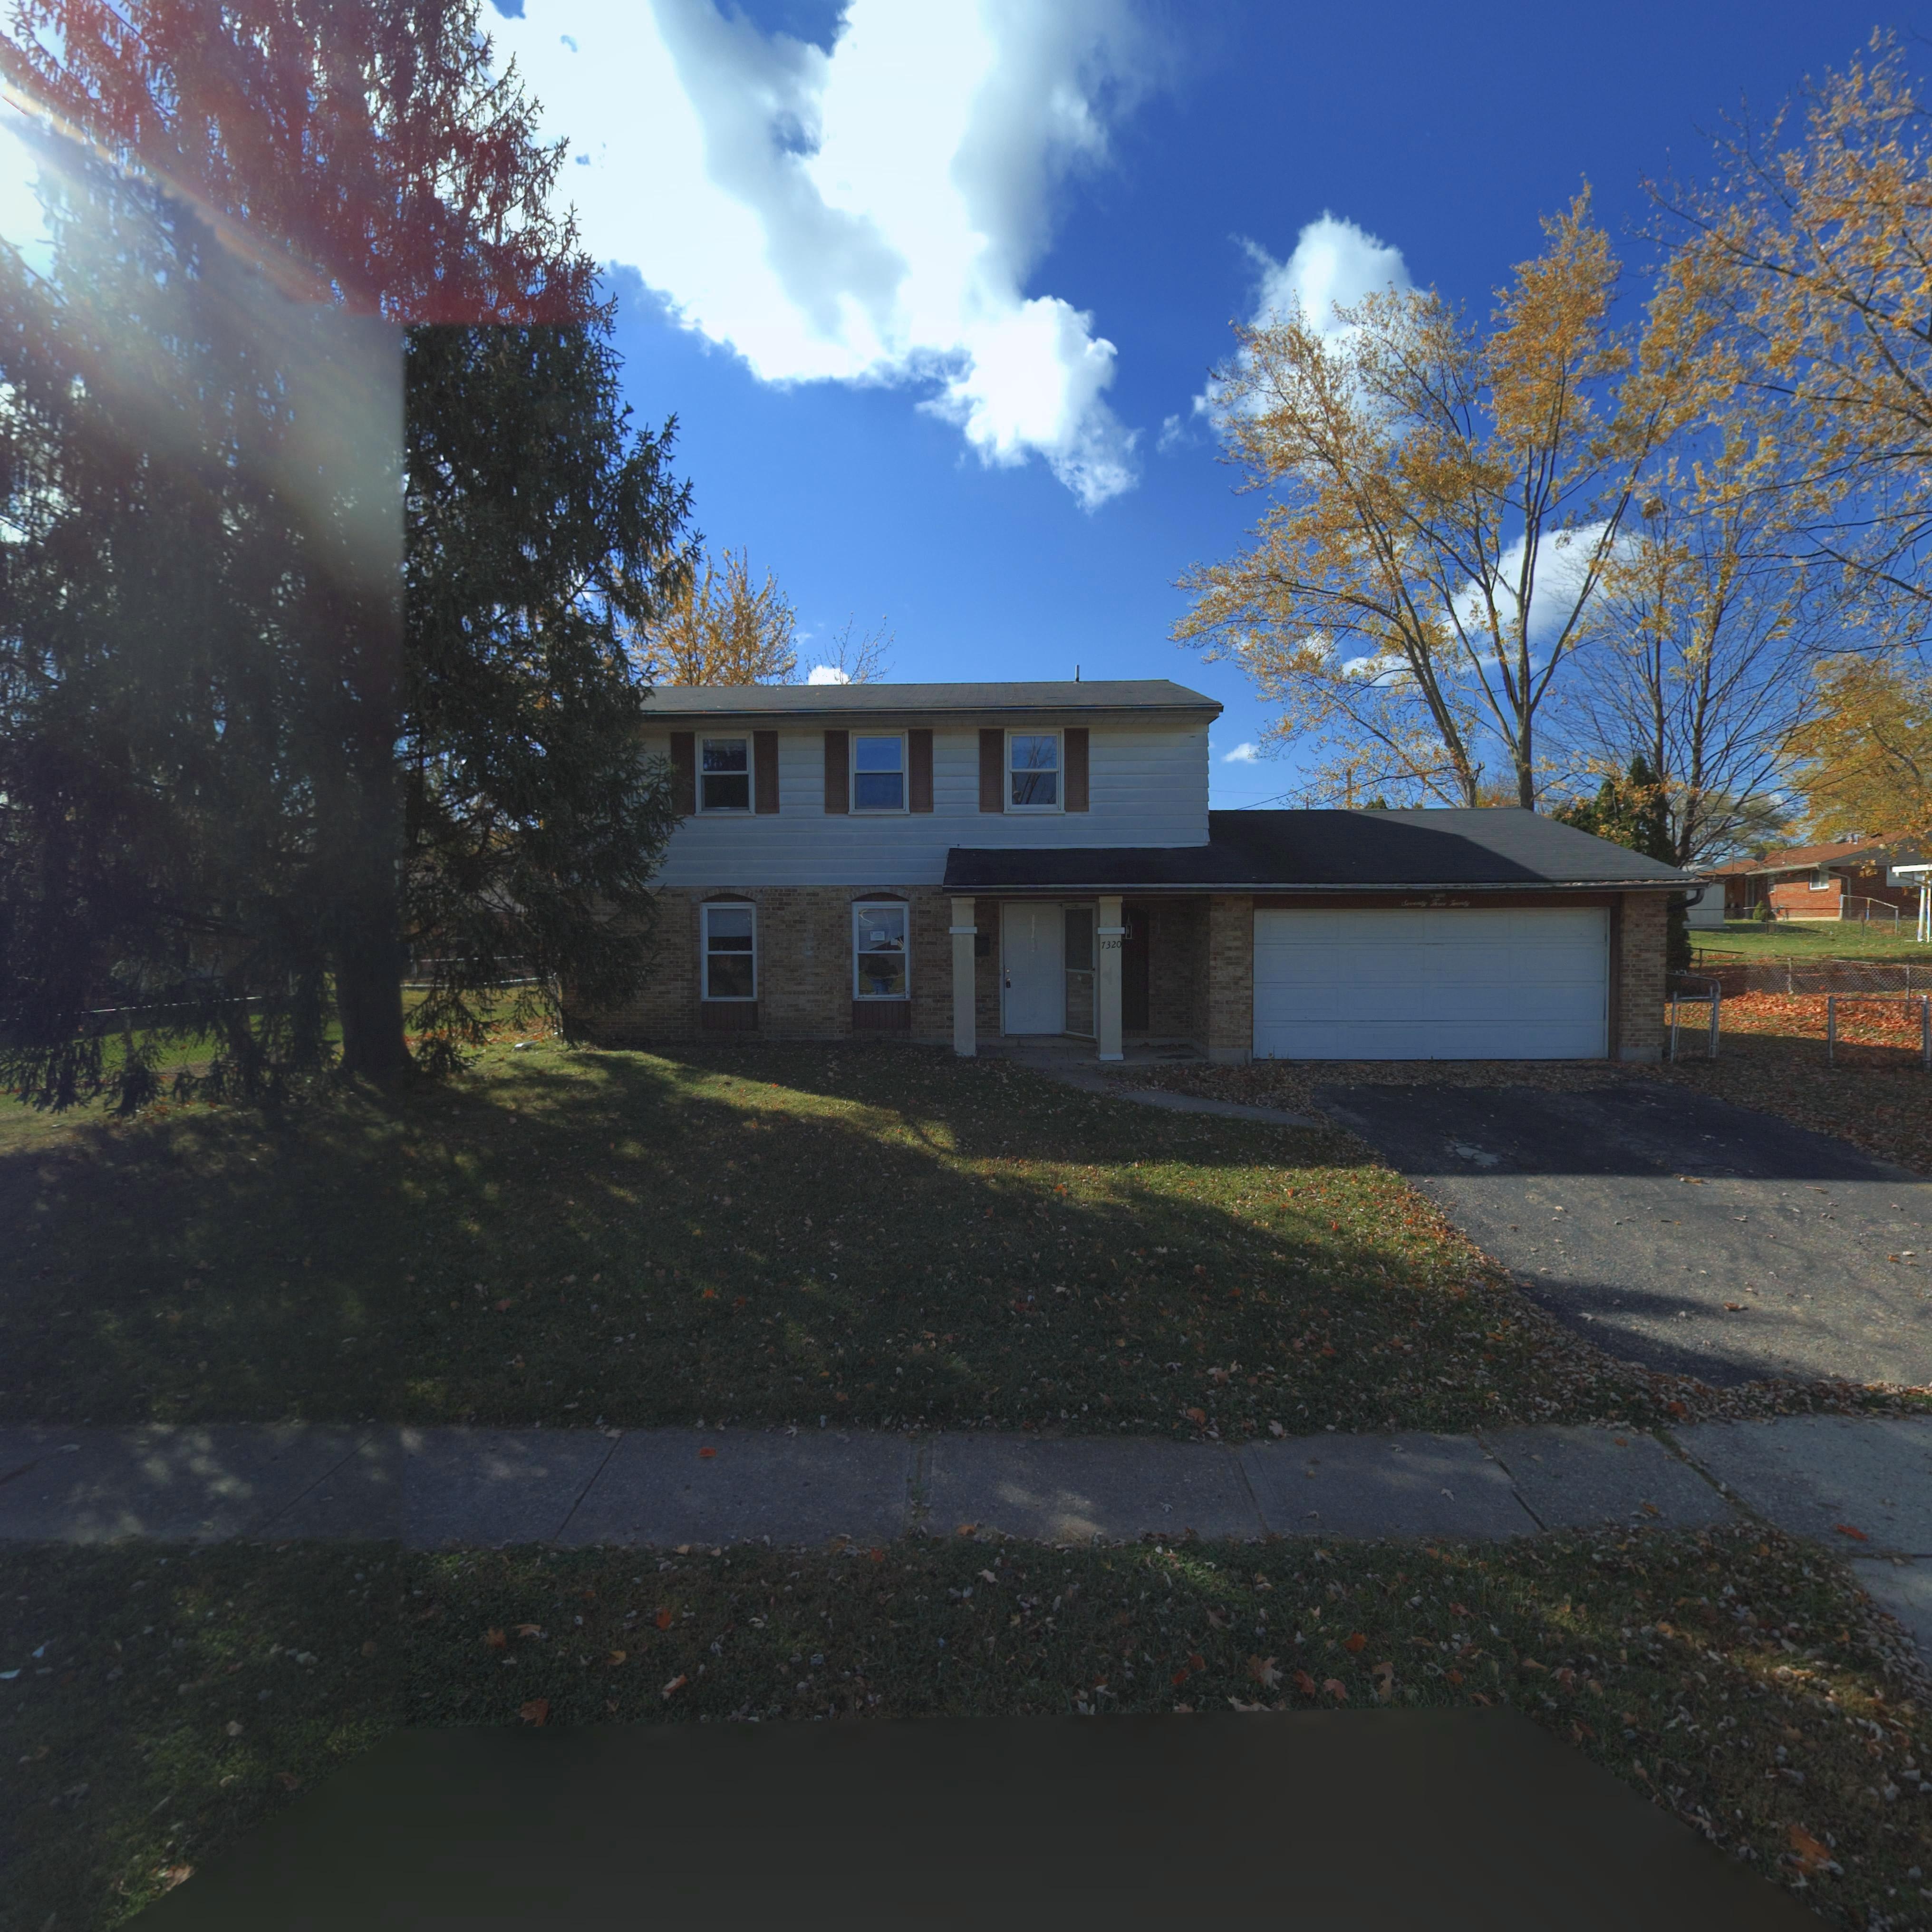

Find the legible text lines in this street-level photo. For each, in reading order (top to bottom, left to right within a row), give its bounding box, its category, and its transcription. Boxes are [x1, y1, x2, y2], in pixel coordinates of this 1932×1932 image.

[1100, 939, 1123, 951] StreetNumber: 7320